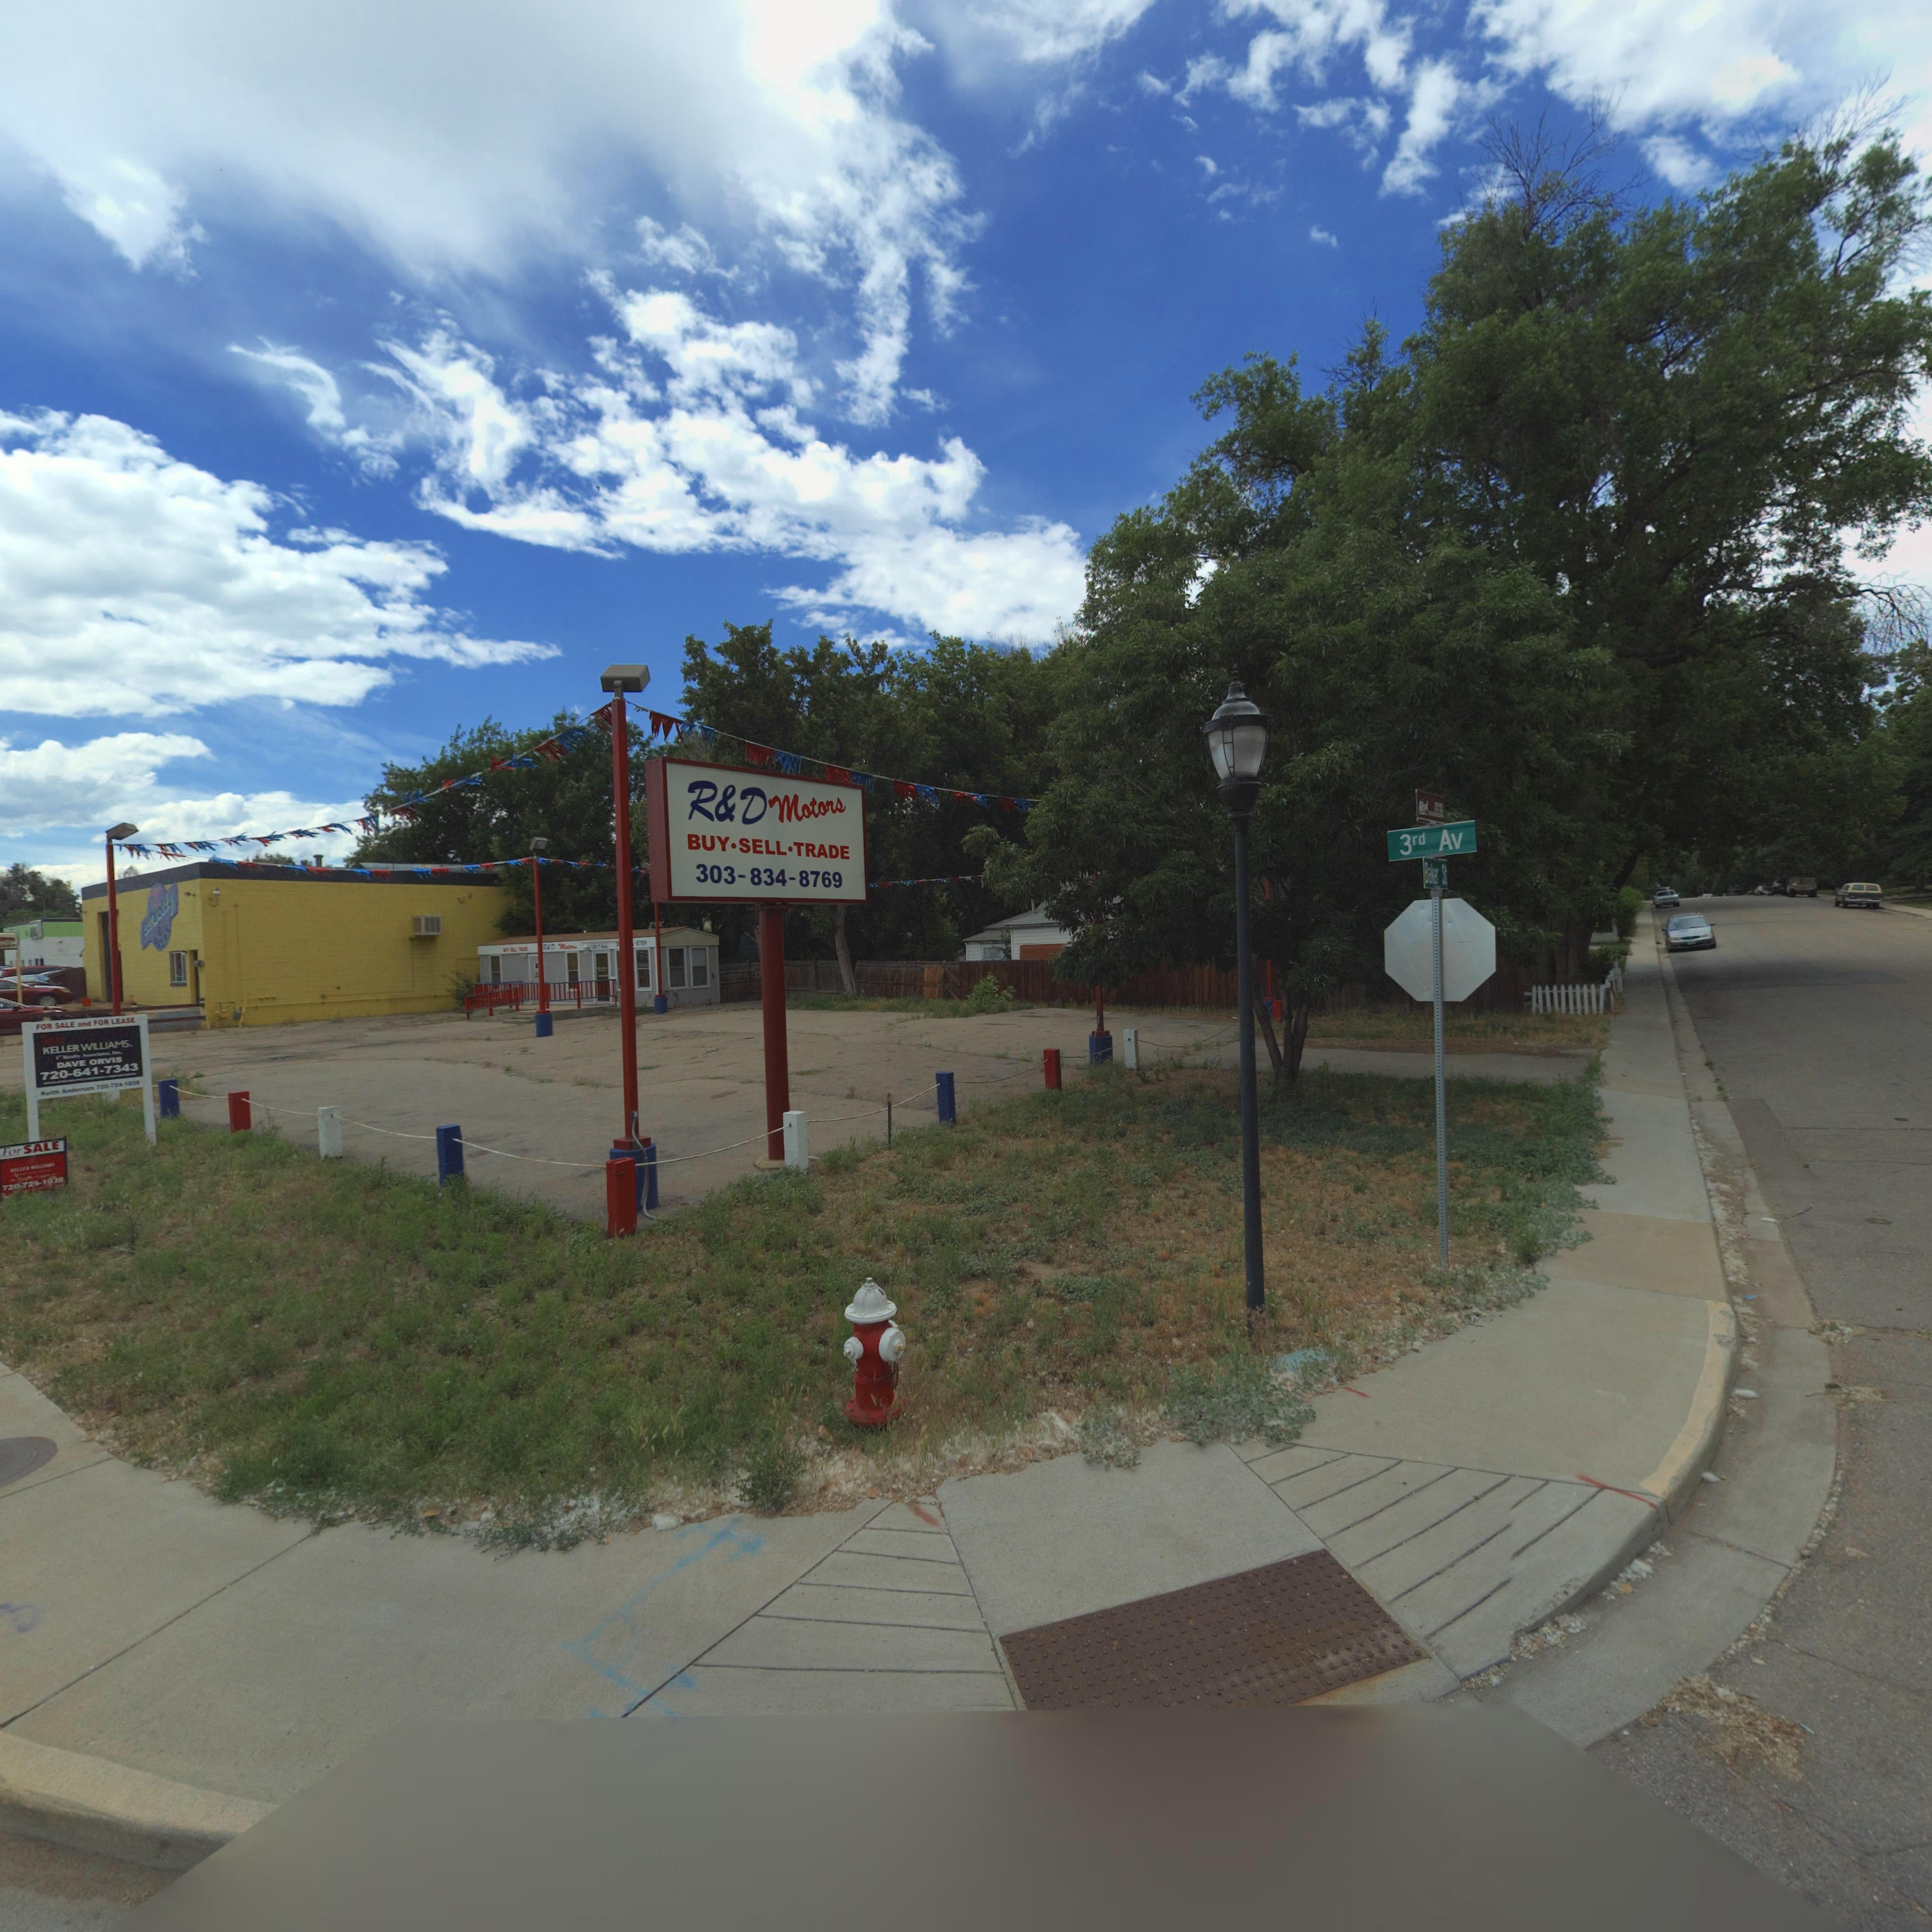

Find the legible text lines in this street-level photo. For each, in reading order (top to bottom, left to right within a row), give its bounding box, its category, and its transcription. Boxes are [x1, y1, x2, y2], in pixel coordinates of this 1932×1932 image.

[686, 779, 767, 826] BusinessName: R&D
[767, 793, 846, 823] BusinessName: Motors
[1399, 829, 1464, 855] StreetName: 3rd Av
[1424, 861, 1448, 885] StreetName: Baker St
[156, 919, 164, 936] BusinessName: &
[152, 923, 172, 949] StreetName: PAINT
[542, 943, 556, 950] BusinessName: R&D
[557, 943, 577, 950] BusinessName: Motors
[590, 944, 597, 949] StreetNumber: 12*